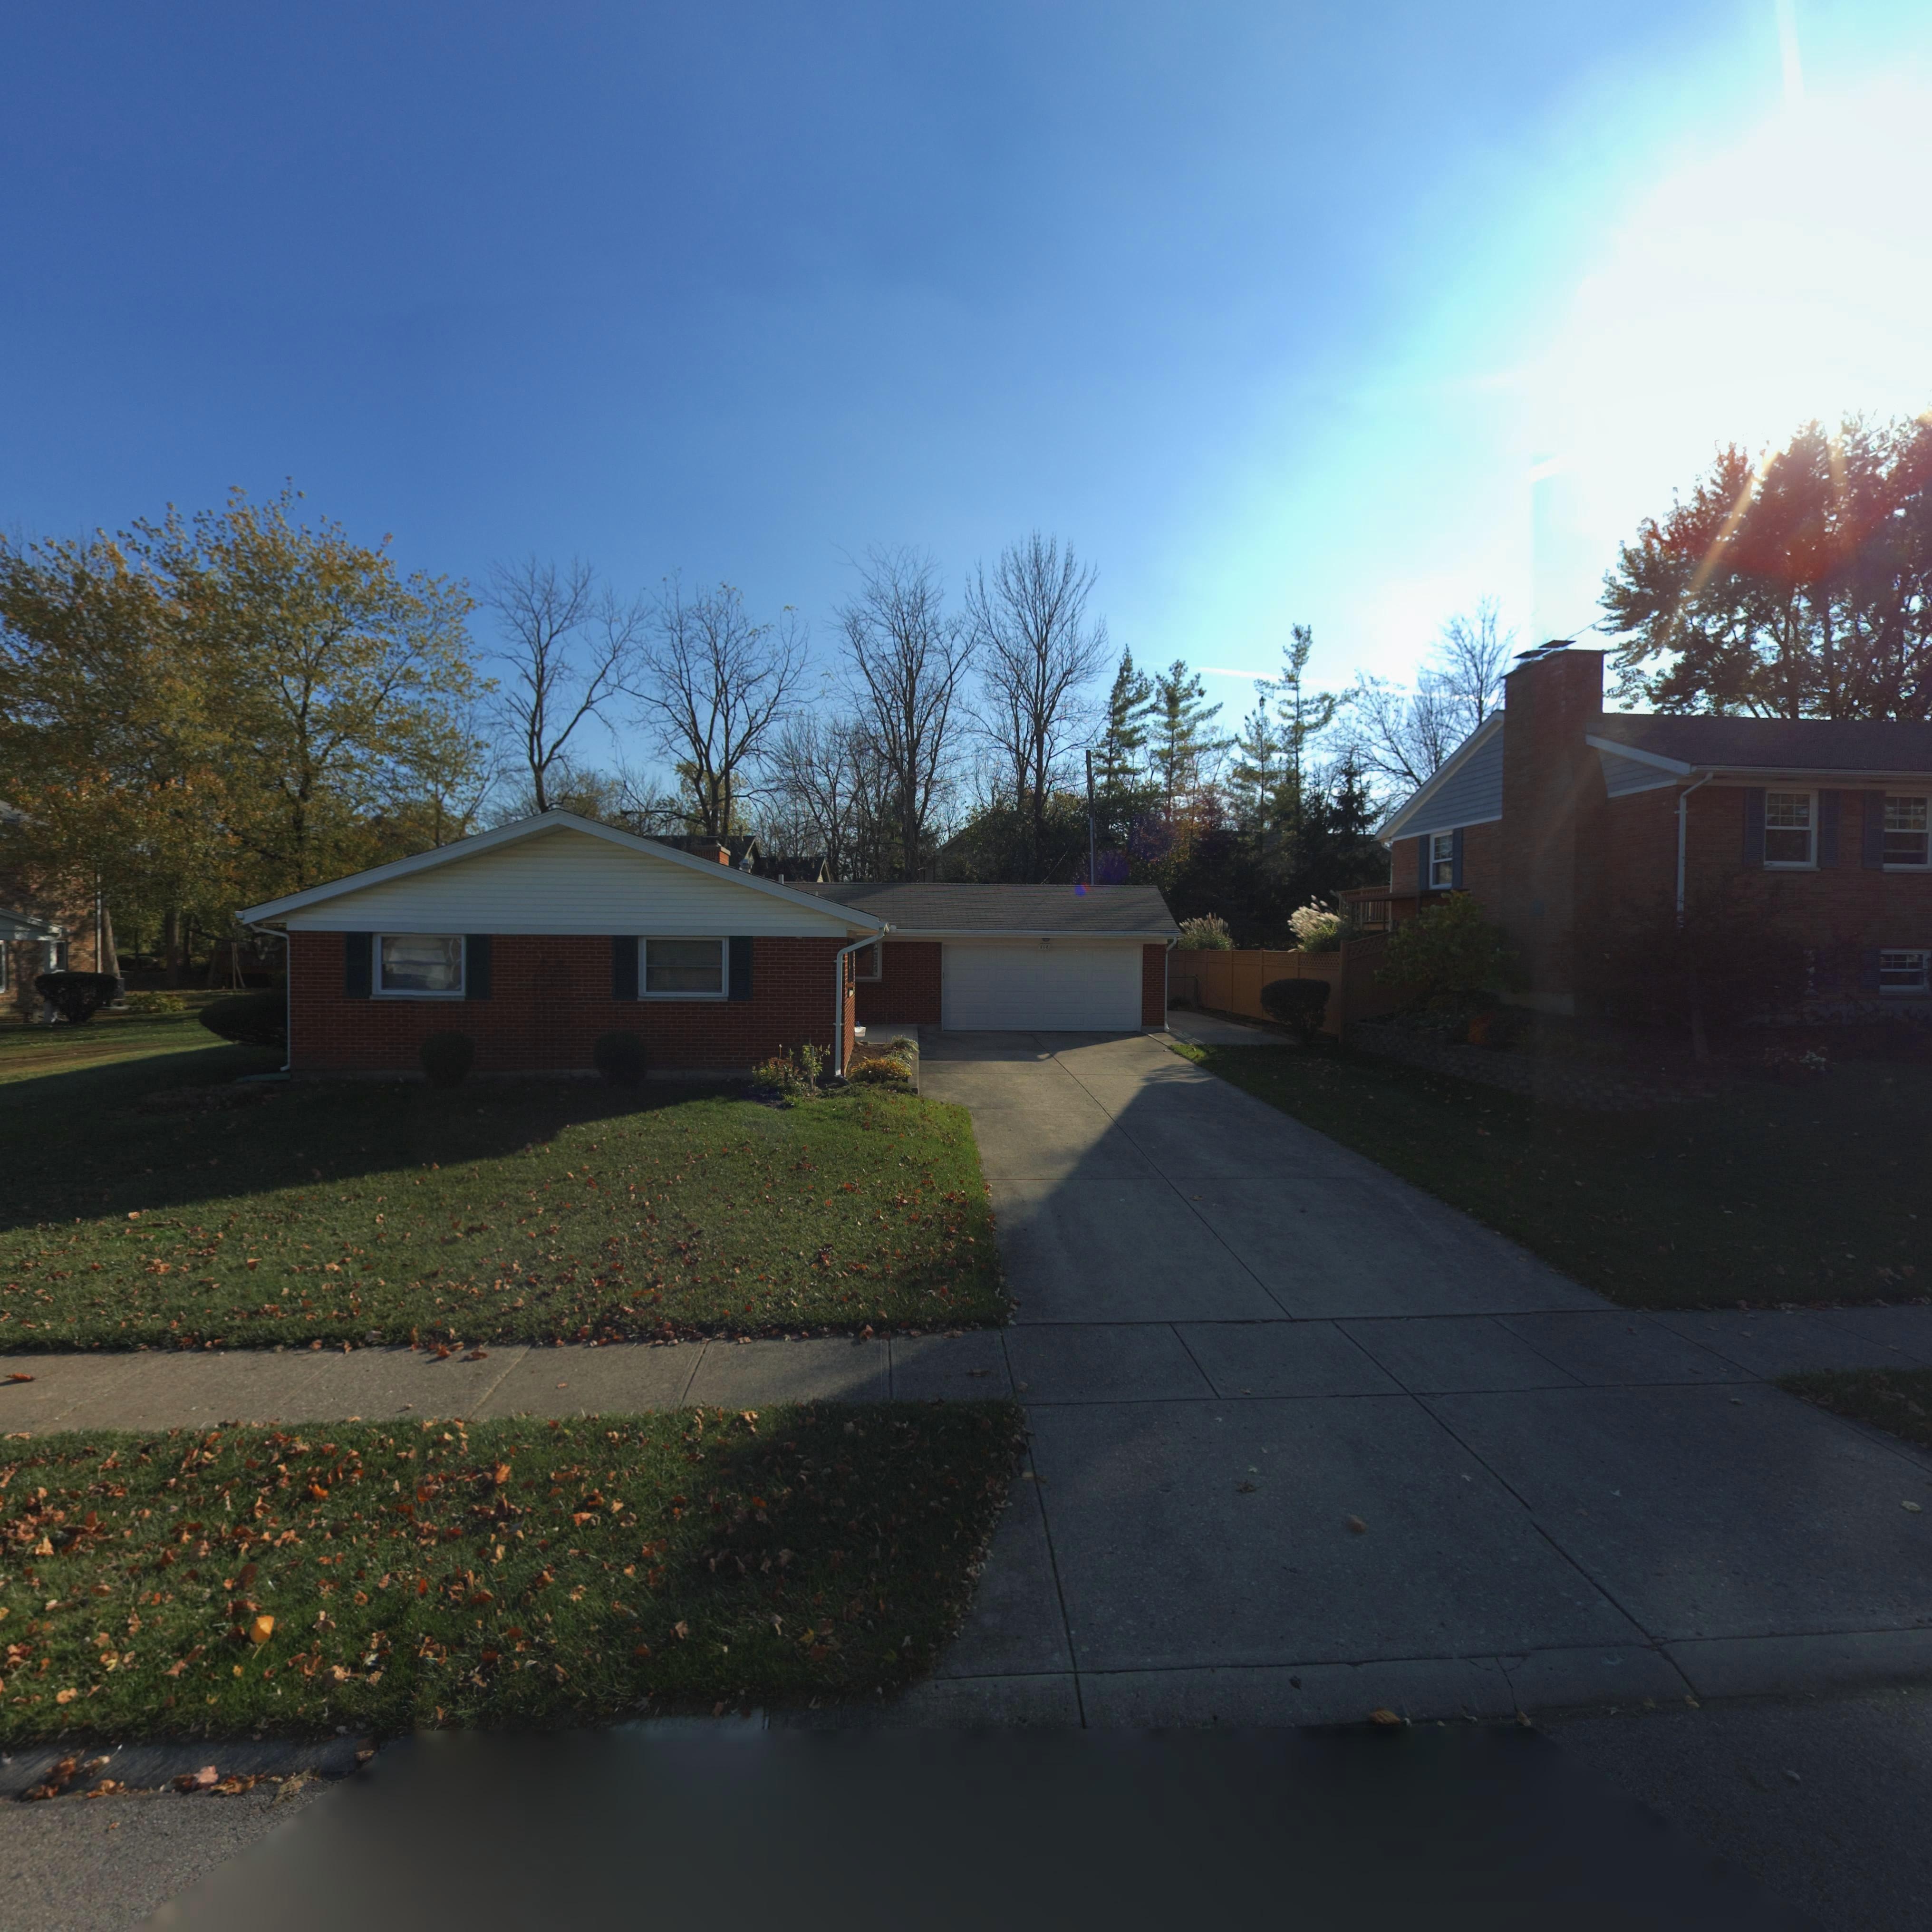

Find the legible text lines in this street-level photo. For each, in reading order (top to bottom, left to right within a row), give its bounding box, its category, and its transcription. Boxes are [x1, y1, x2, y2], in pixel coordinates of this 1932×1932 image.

[1039, 944, 1049, 950] StreetNumber: 80*